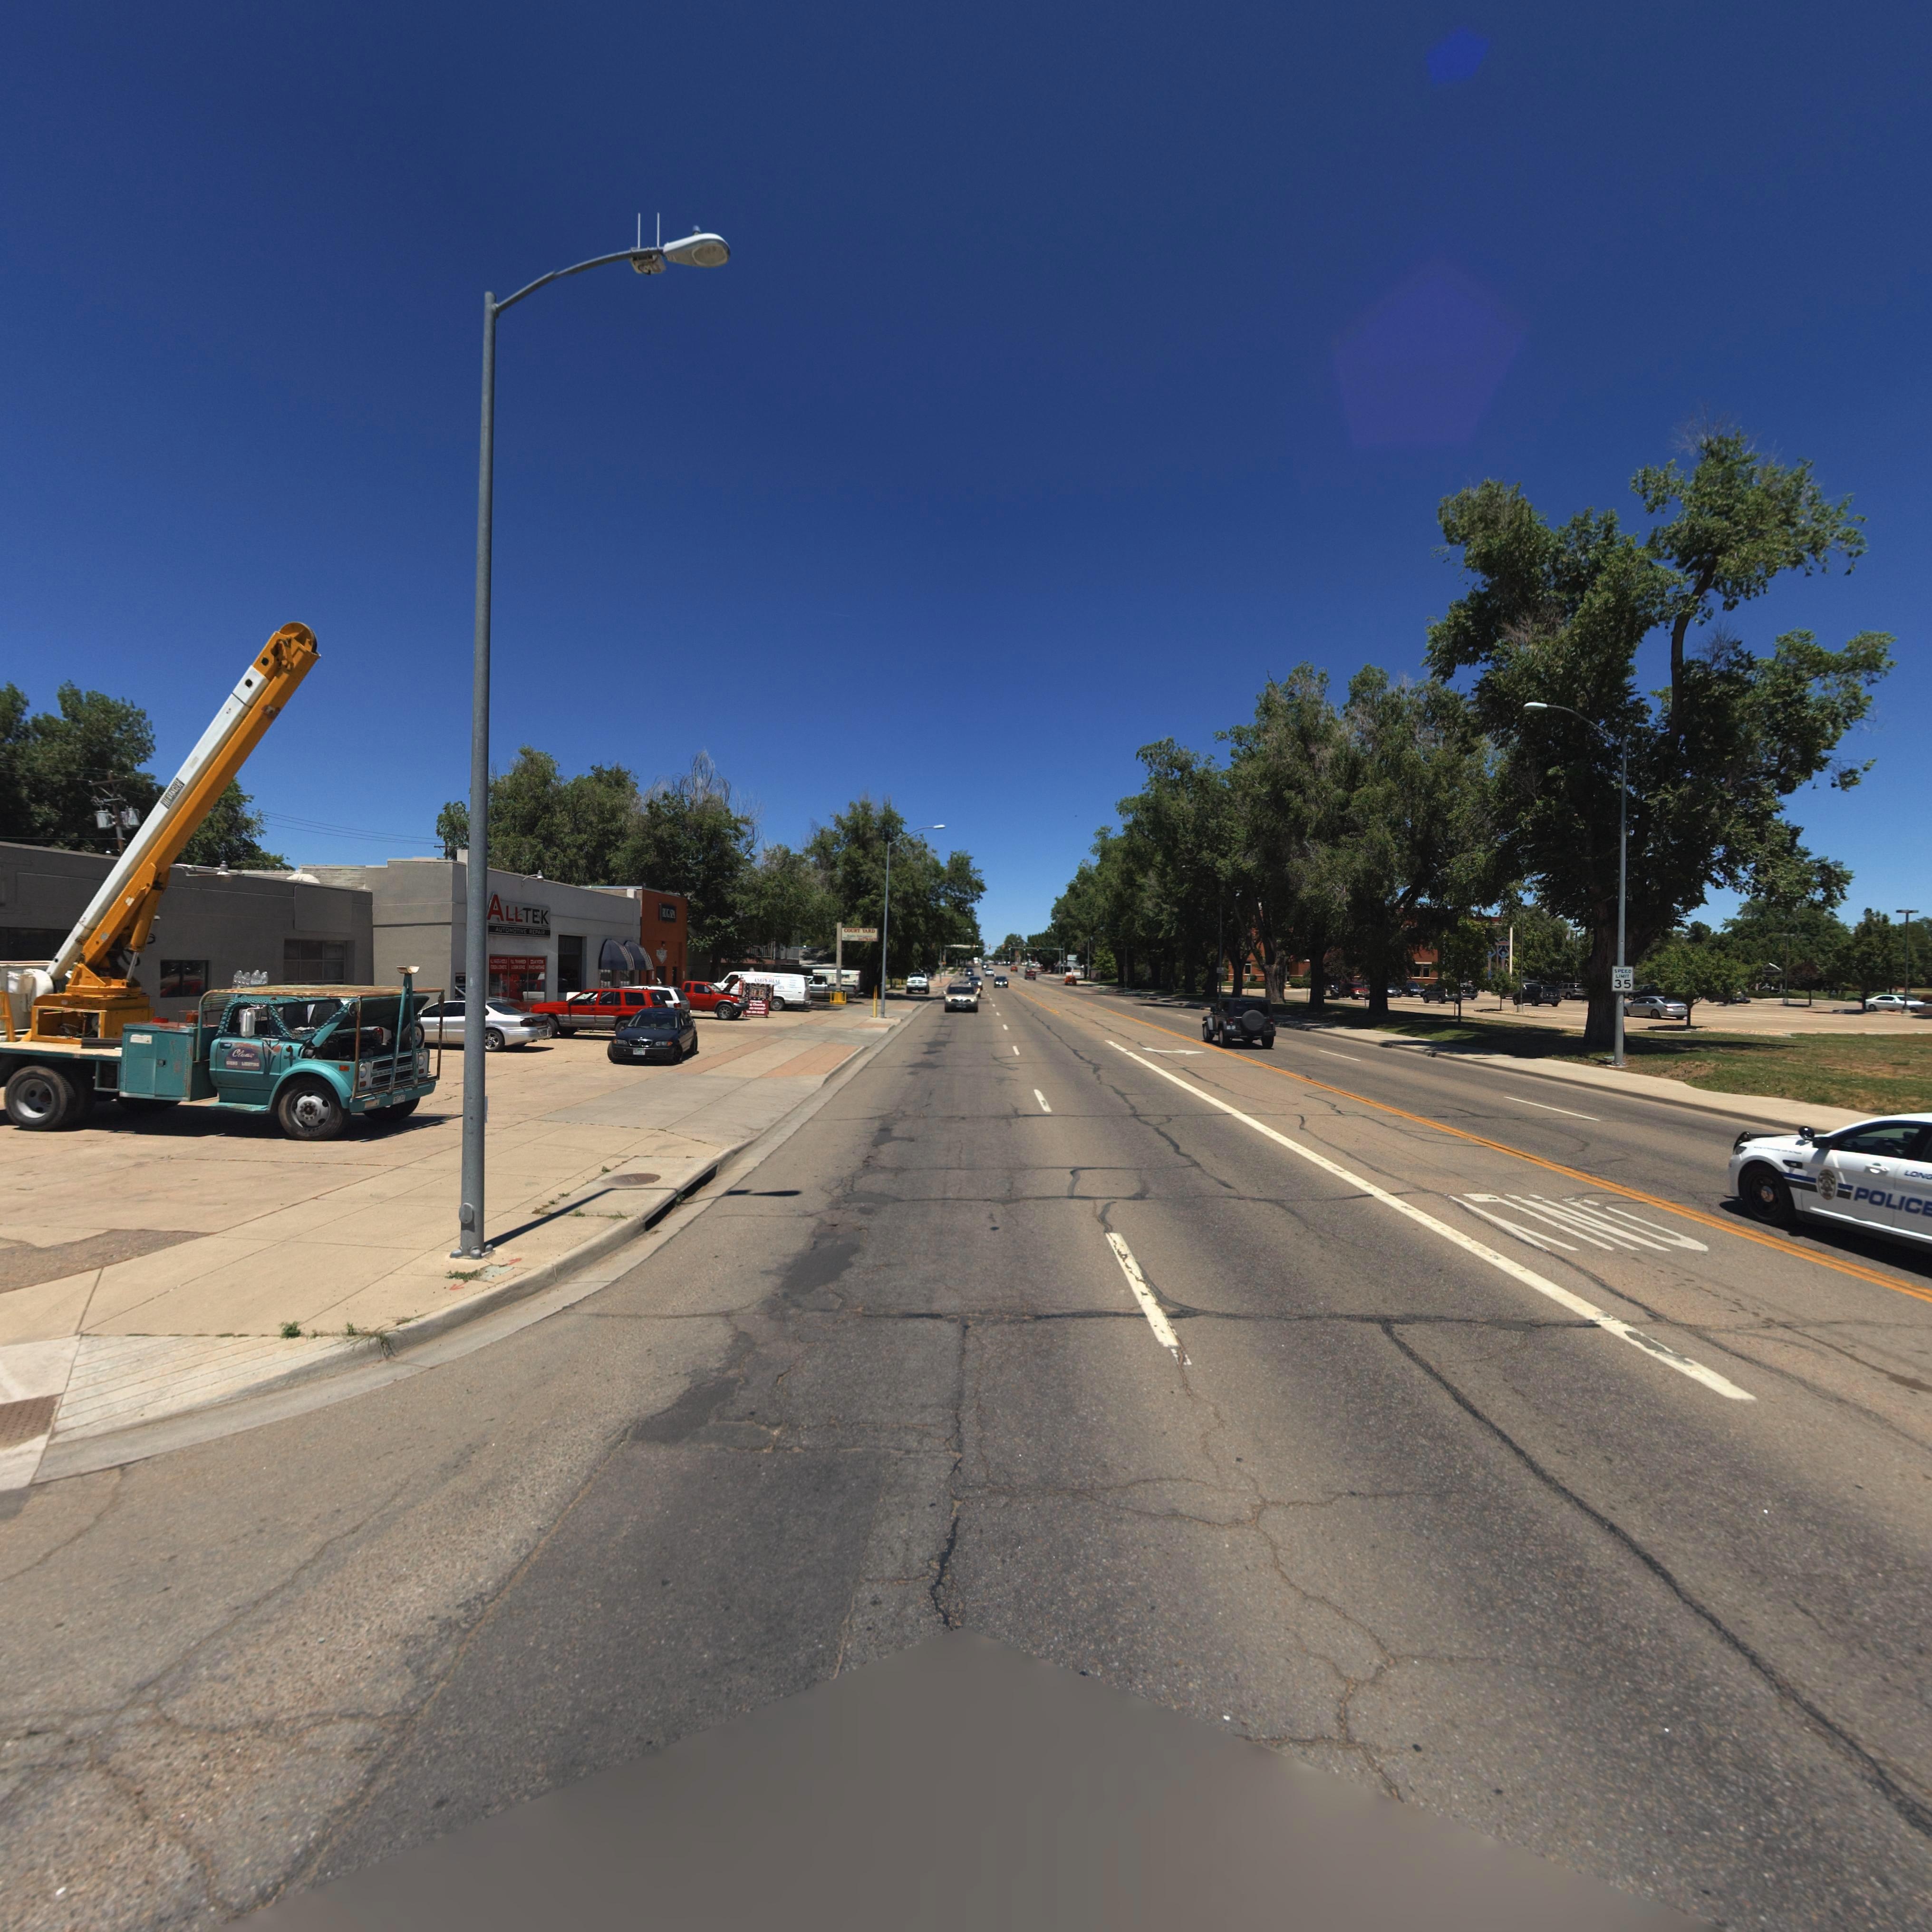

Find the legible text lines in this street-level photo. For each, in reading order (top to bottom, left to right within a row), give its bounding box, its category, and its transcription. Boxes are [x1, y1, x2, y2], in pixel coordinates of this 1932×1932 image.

[485, 894, 549, 925] BusinessName: ALLTEK
[495, 927, 545, 935] BusinessName: AUTOMOTIVE REPAIR
[843, 928, 875, 933] BusinessName: COURT YARD